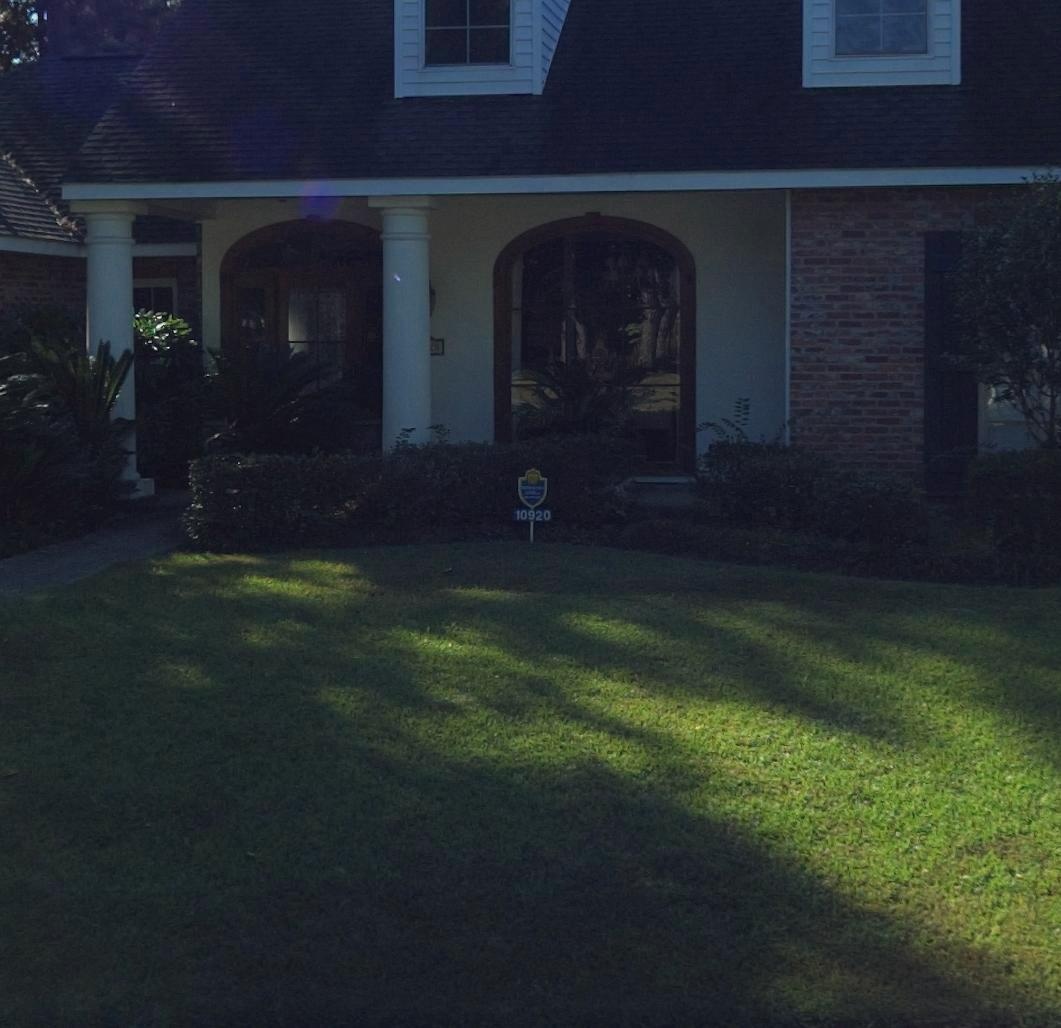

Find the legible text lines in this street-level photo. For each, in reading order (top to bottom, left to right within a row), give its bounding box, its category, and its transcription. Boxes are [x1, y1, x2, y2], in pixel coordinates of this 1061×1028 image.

[513, 508, 553, 522] StreetNumber: 10920